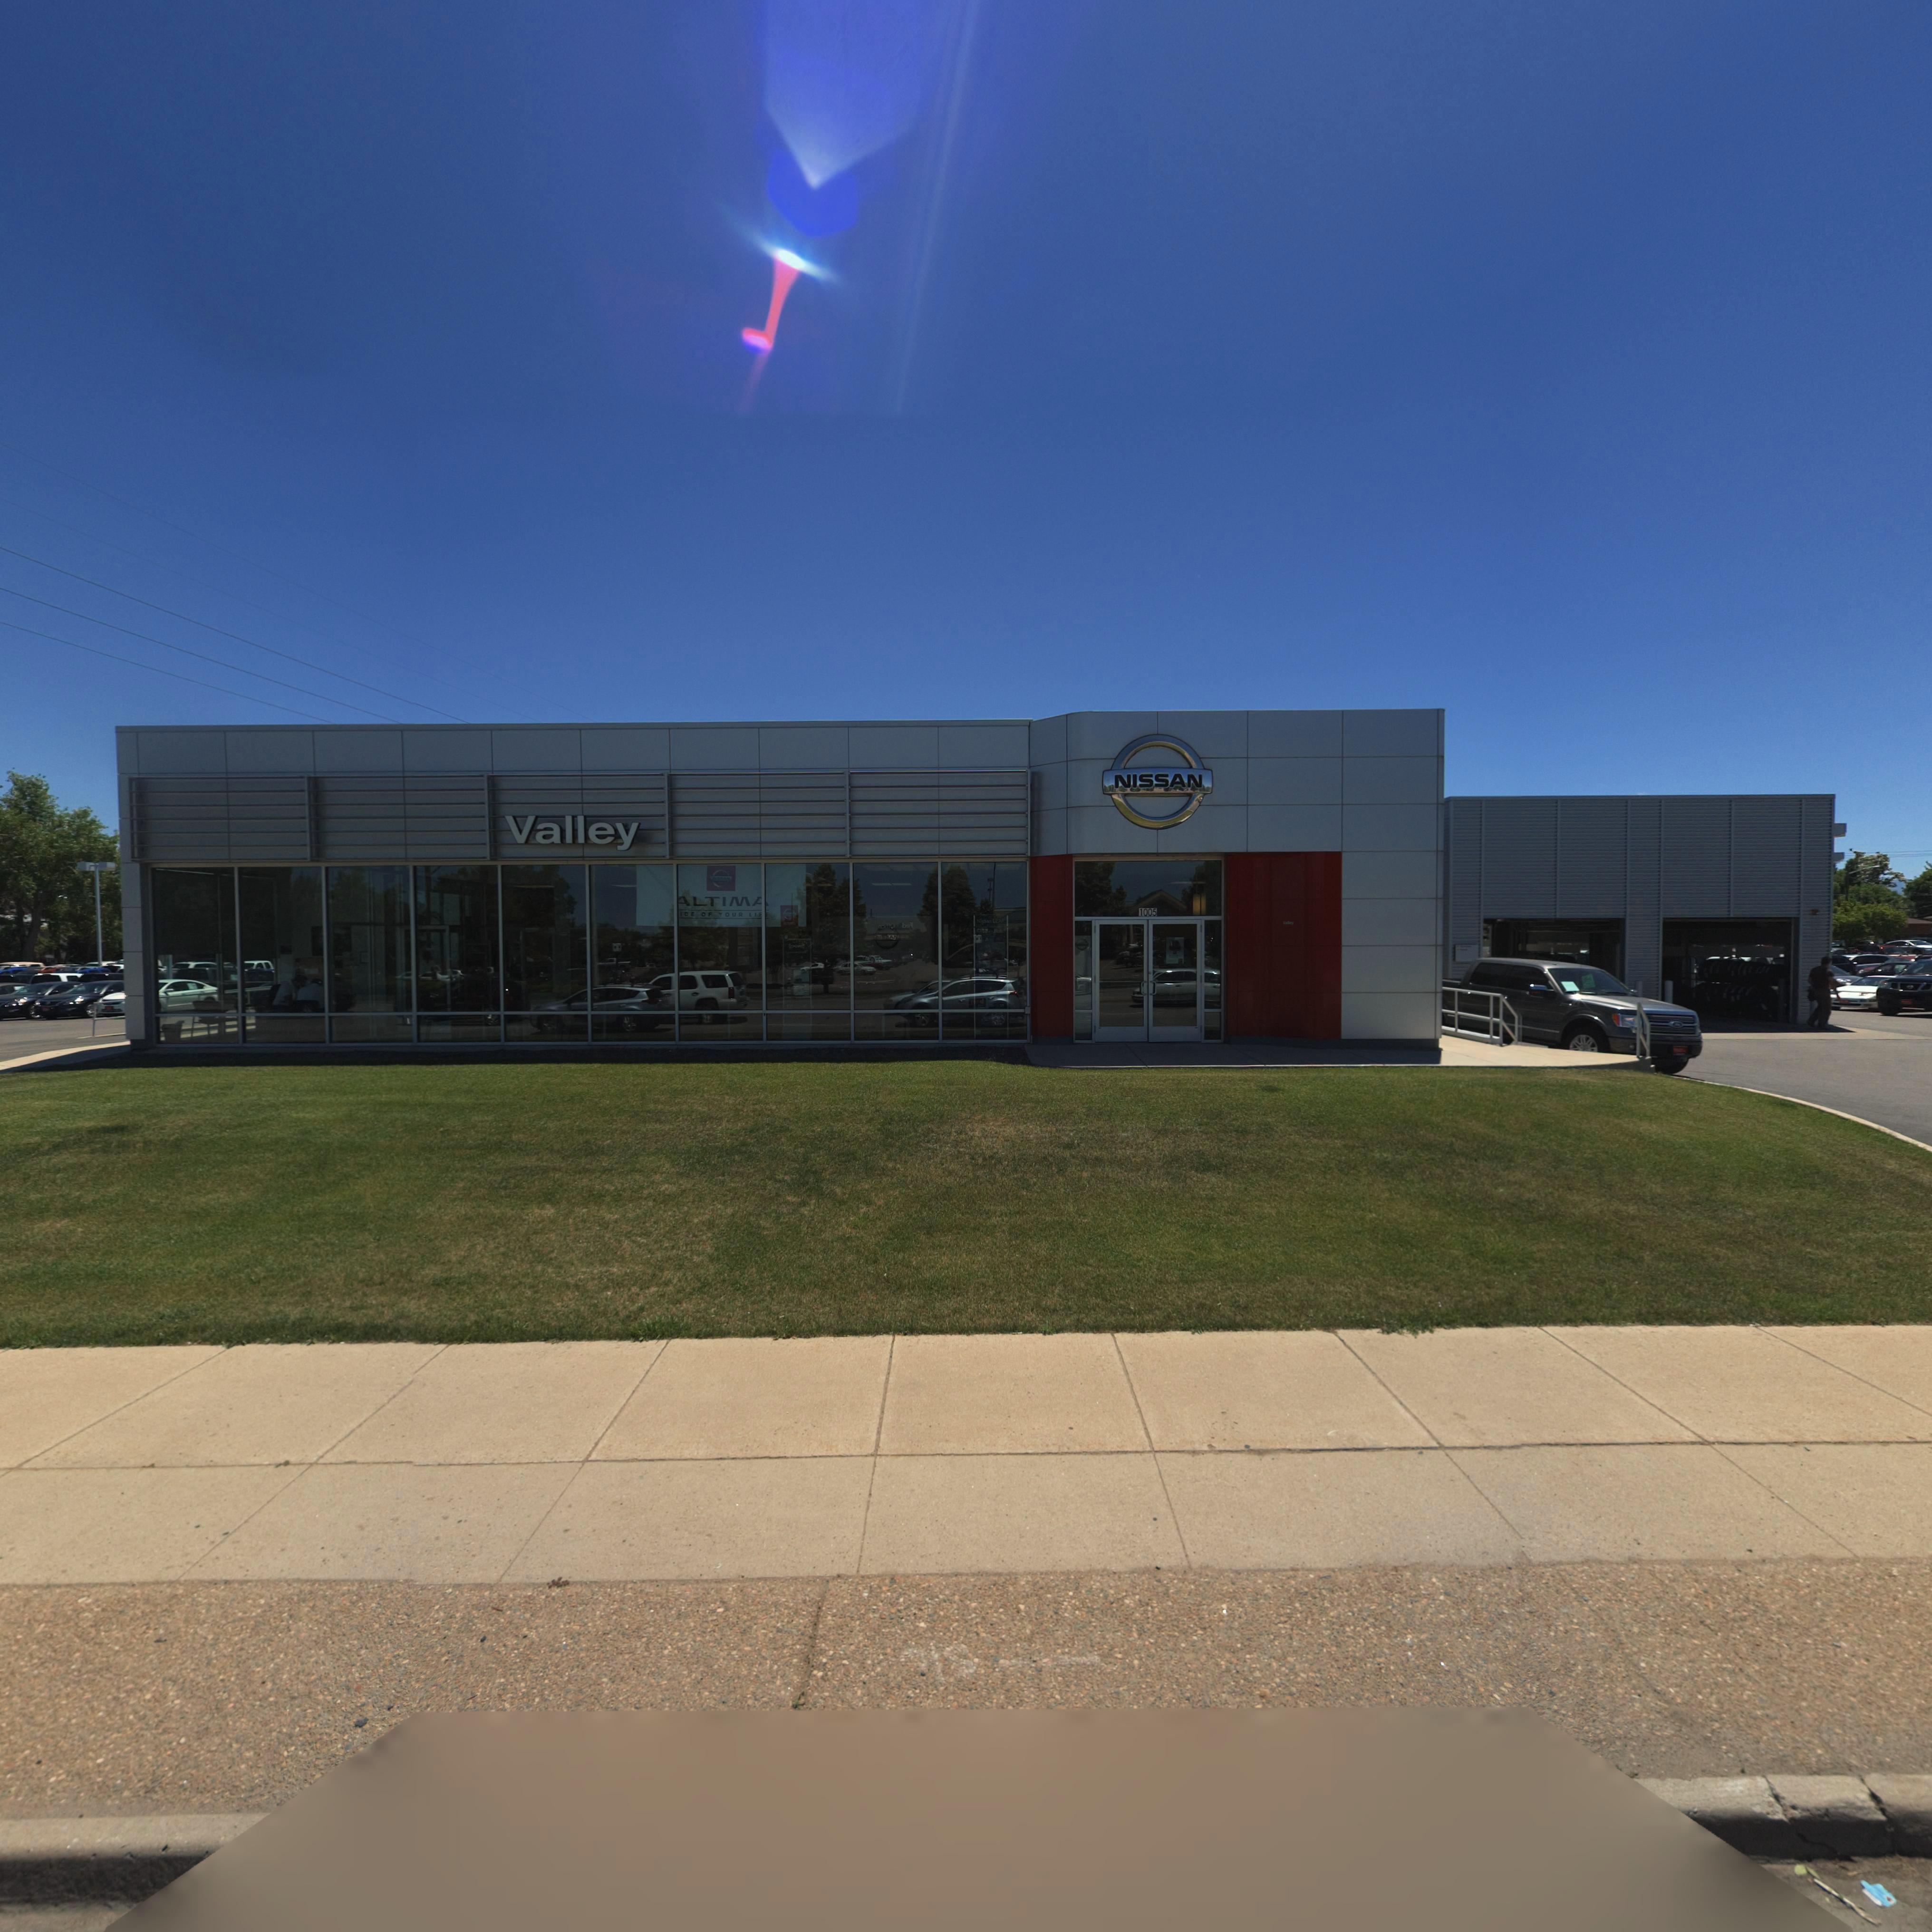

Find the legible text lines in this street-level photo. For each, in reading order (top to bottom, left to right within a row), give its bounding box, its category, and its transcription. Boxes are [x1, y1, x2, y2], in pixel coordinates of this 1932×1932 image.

[1113, 772, 1203, 790] BusinessName: NISSAN
[502, 814, 643, 851] BusinessName: Valley
[1140, 908, 1157, 917] StreetNumber: 1005